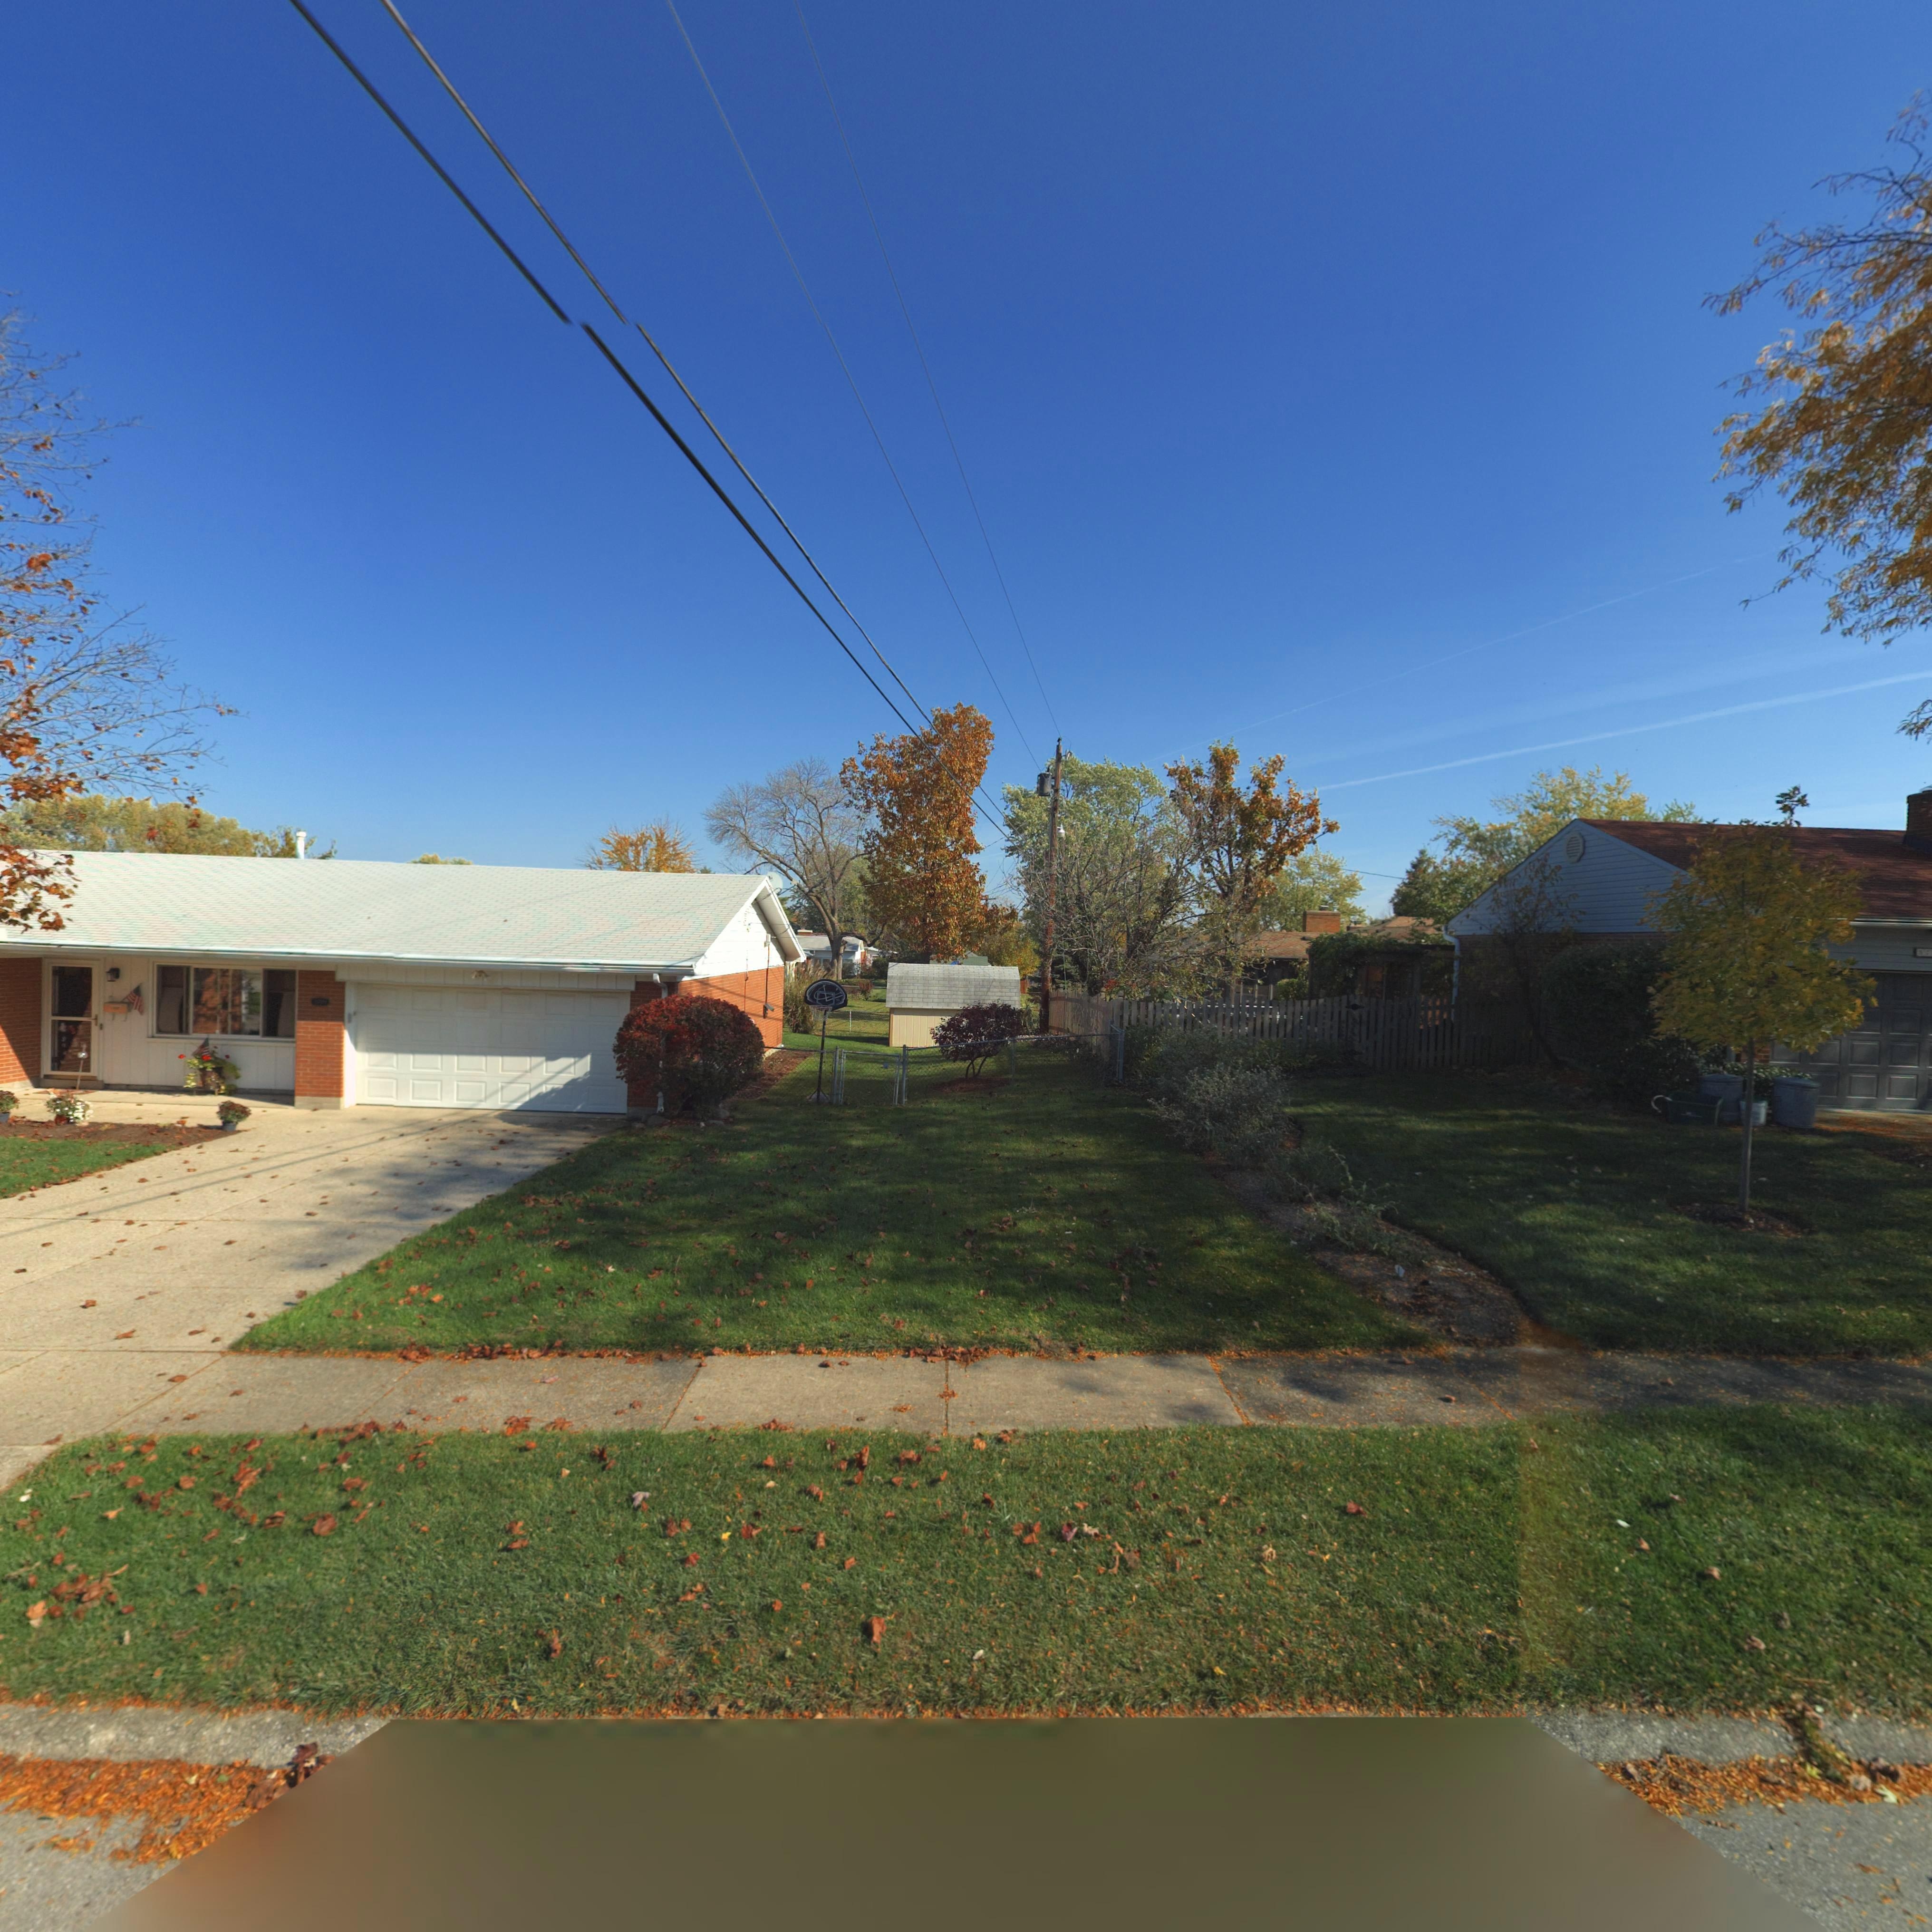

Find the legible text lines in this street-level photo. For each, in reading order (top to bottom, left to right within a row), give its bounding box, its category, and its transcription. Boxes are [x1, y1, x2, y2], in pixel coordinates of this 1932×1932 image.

[1917, 949, 1931, 955] StreetNumber: 37